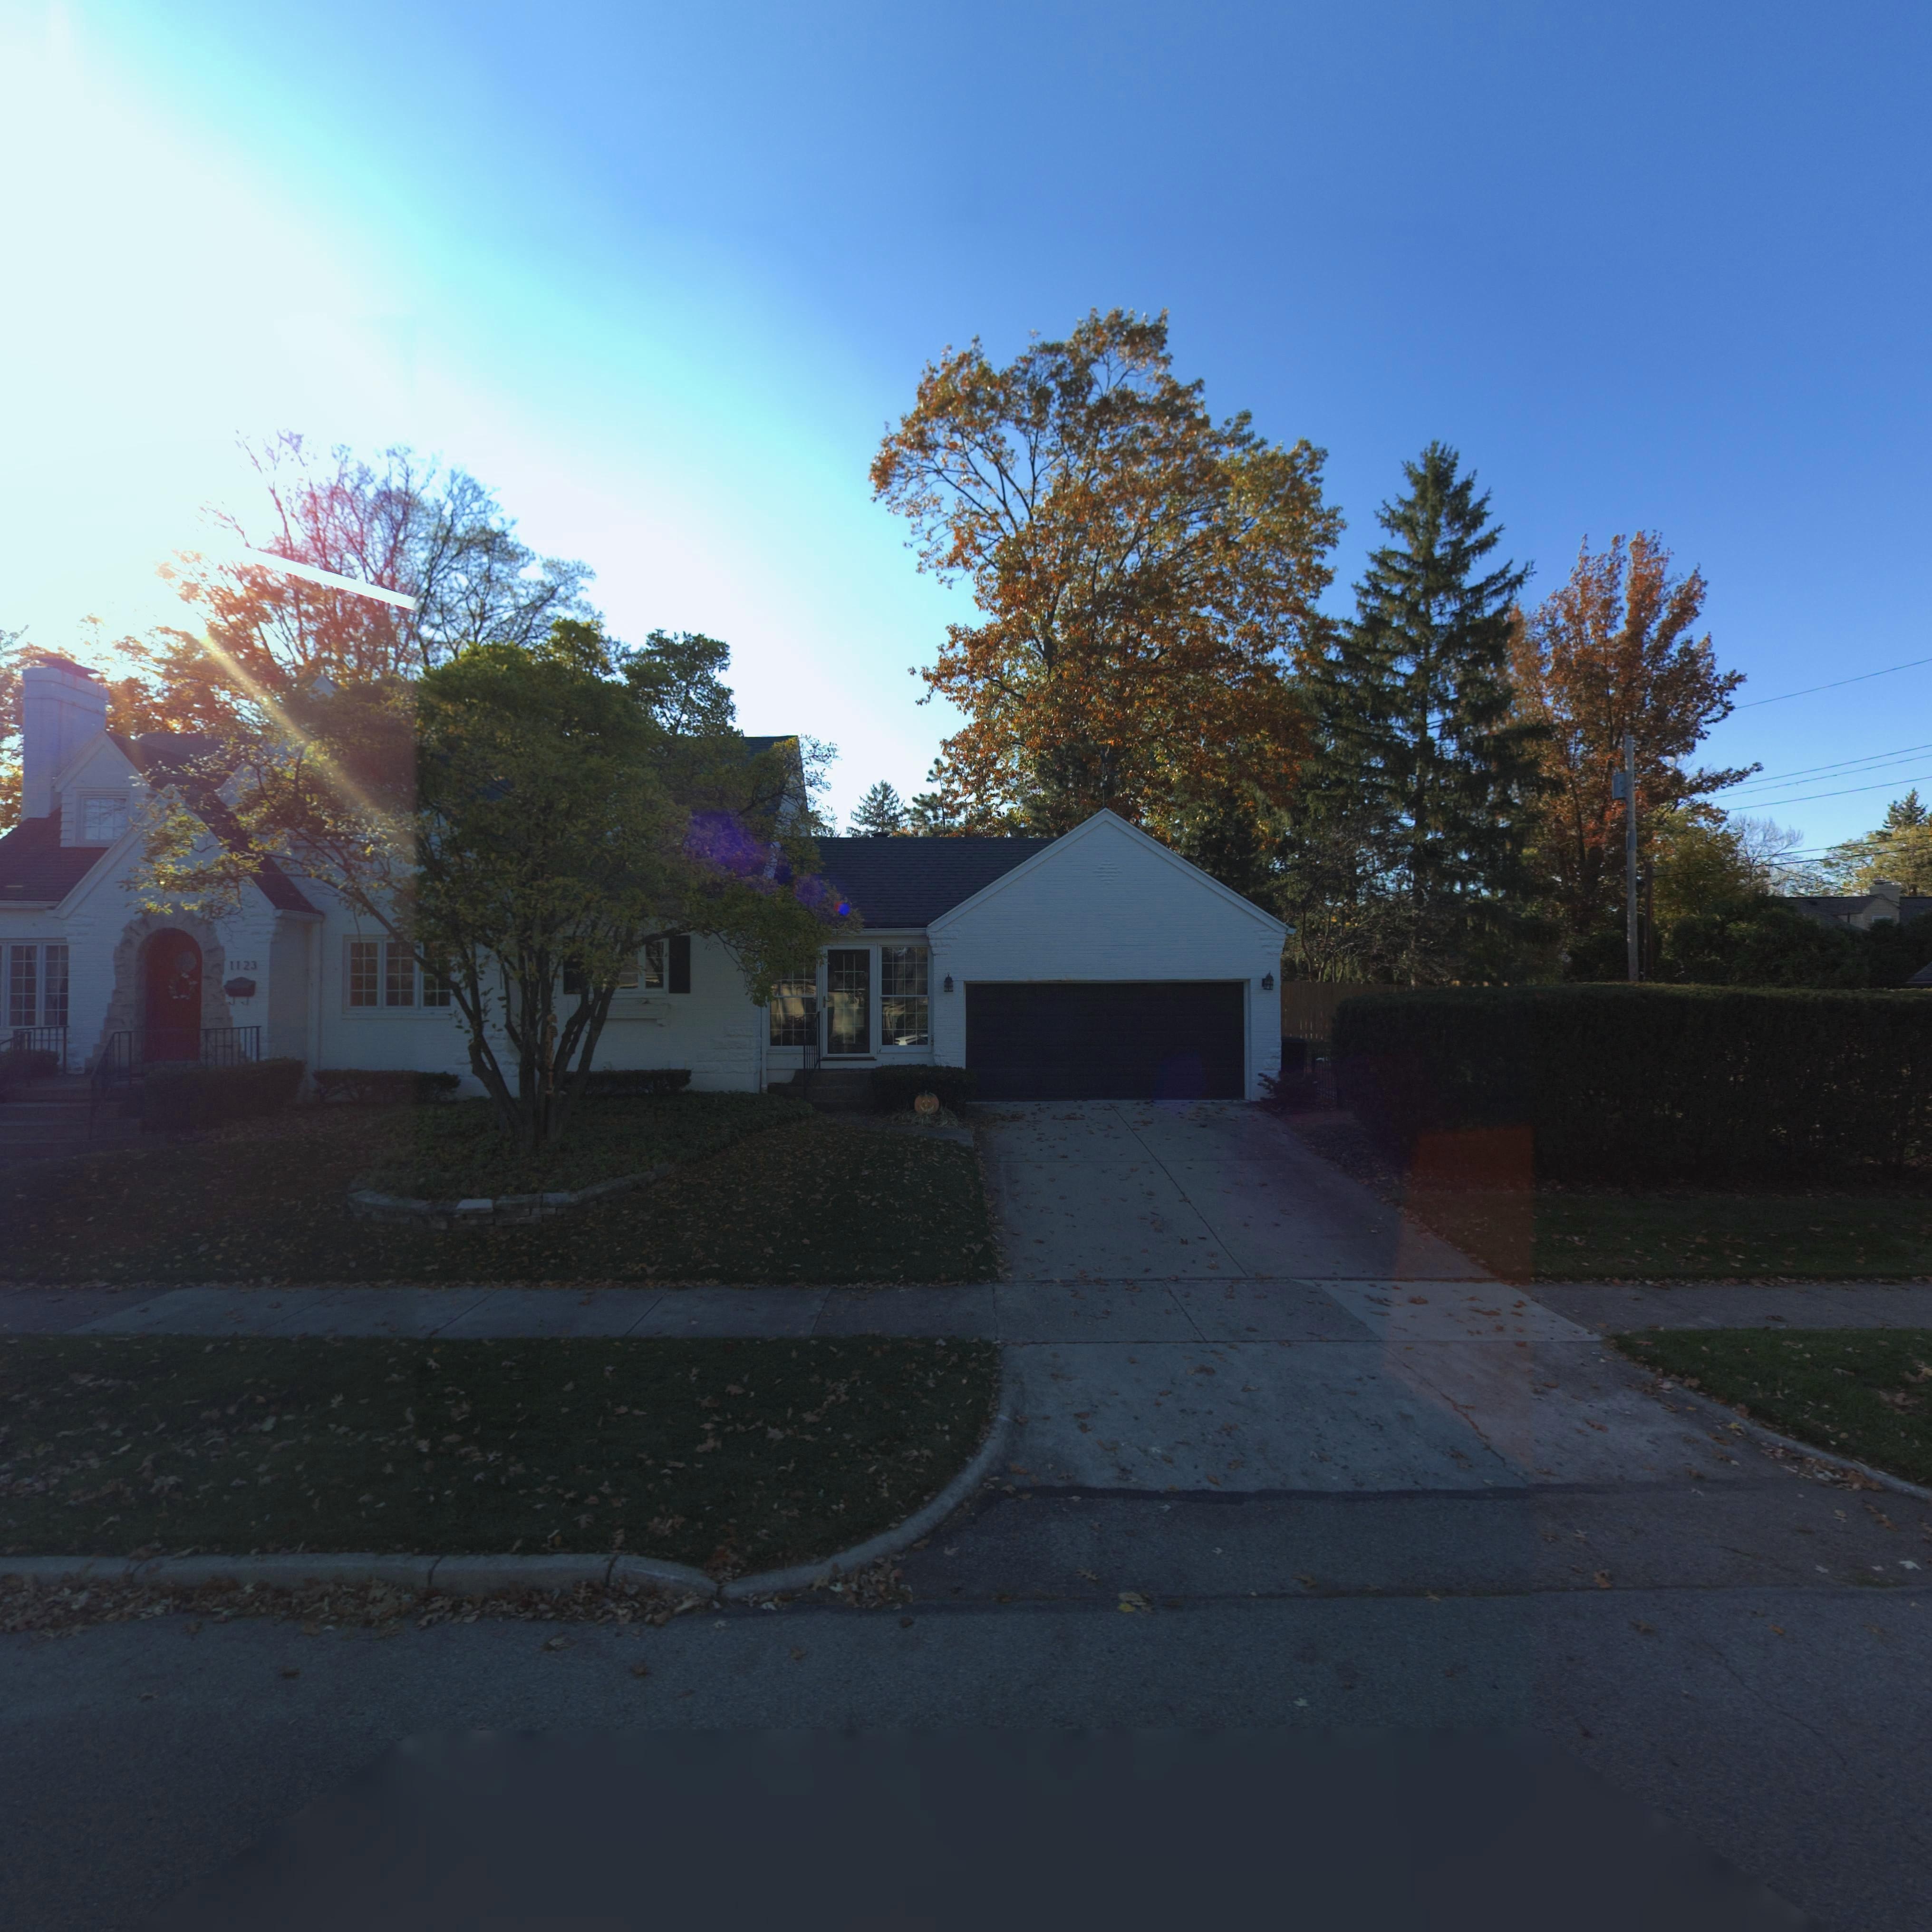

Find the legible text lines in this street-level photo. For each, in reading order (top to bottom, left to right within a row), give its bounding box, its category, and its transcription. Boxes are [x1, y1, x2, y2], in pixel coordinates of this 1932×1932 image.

[229, 960, 257, 970] StreetNumber: 1123